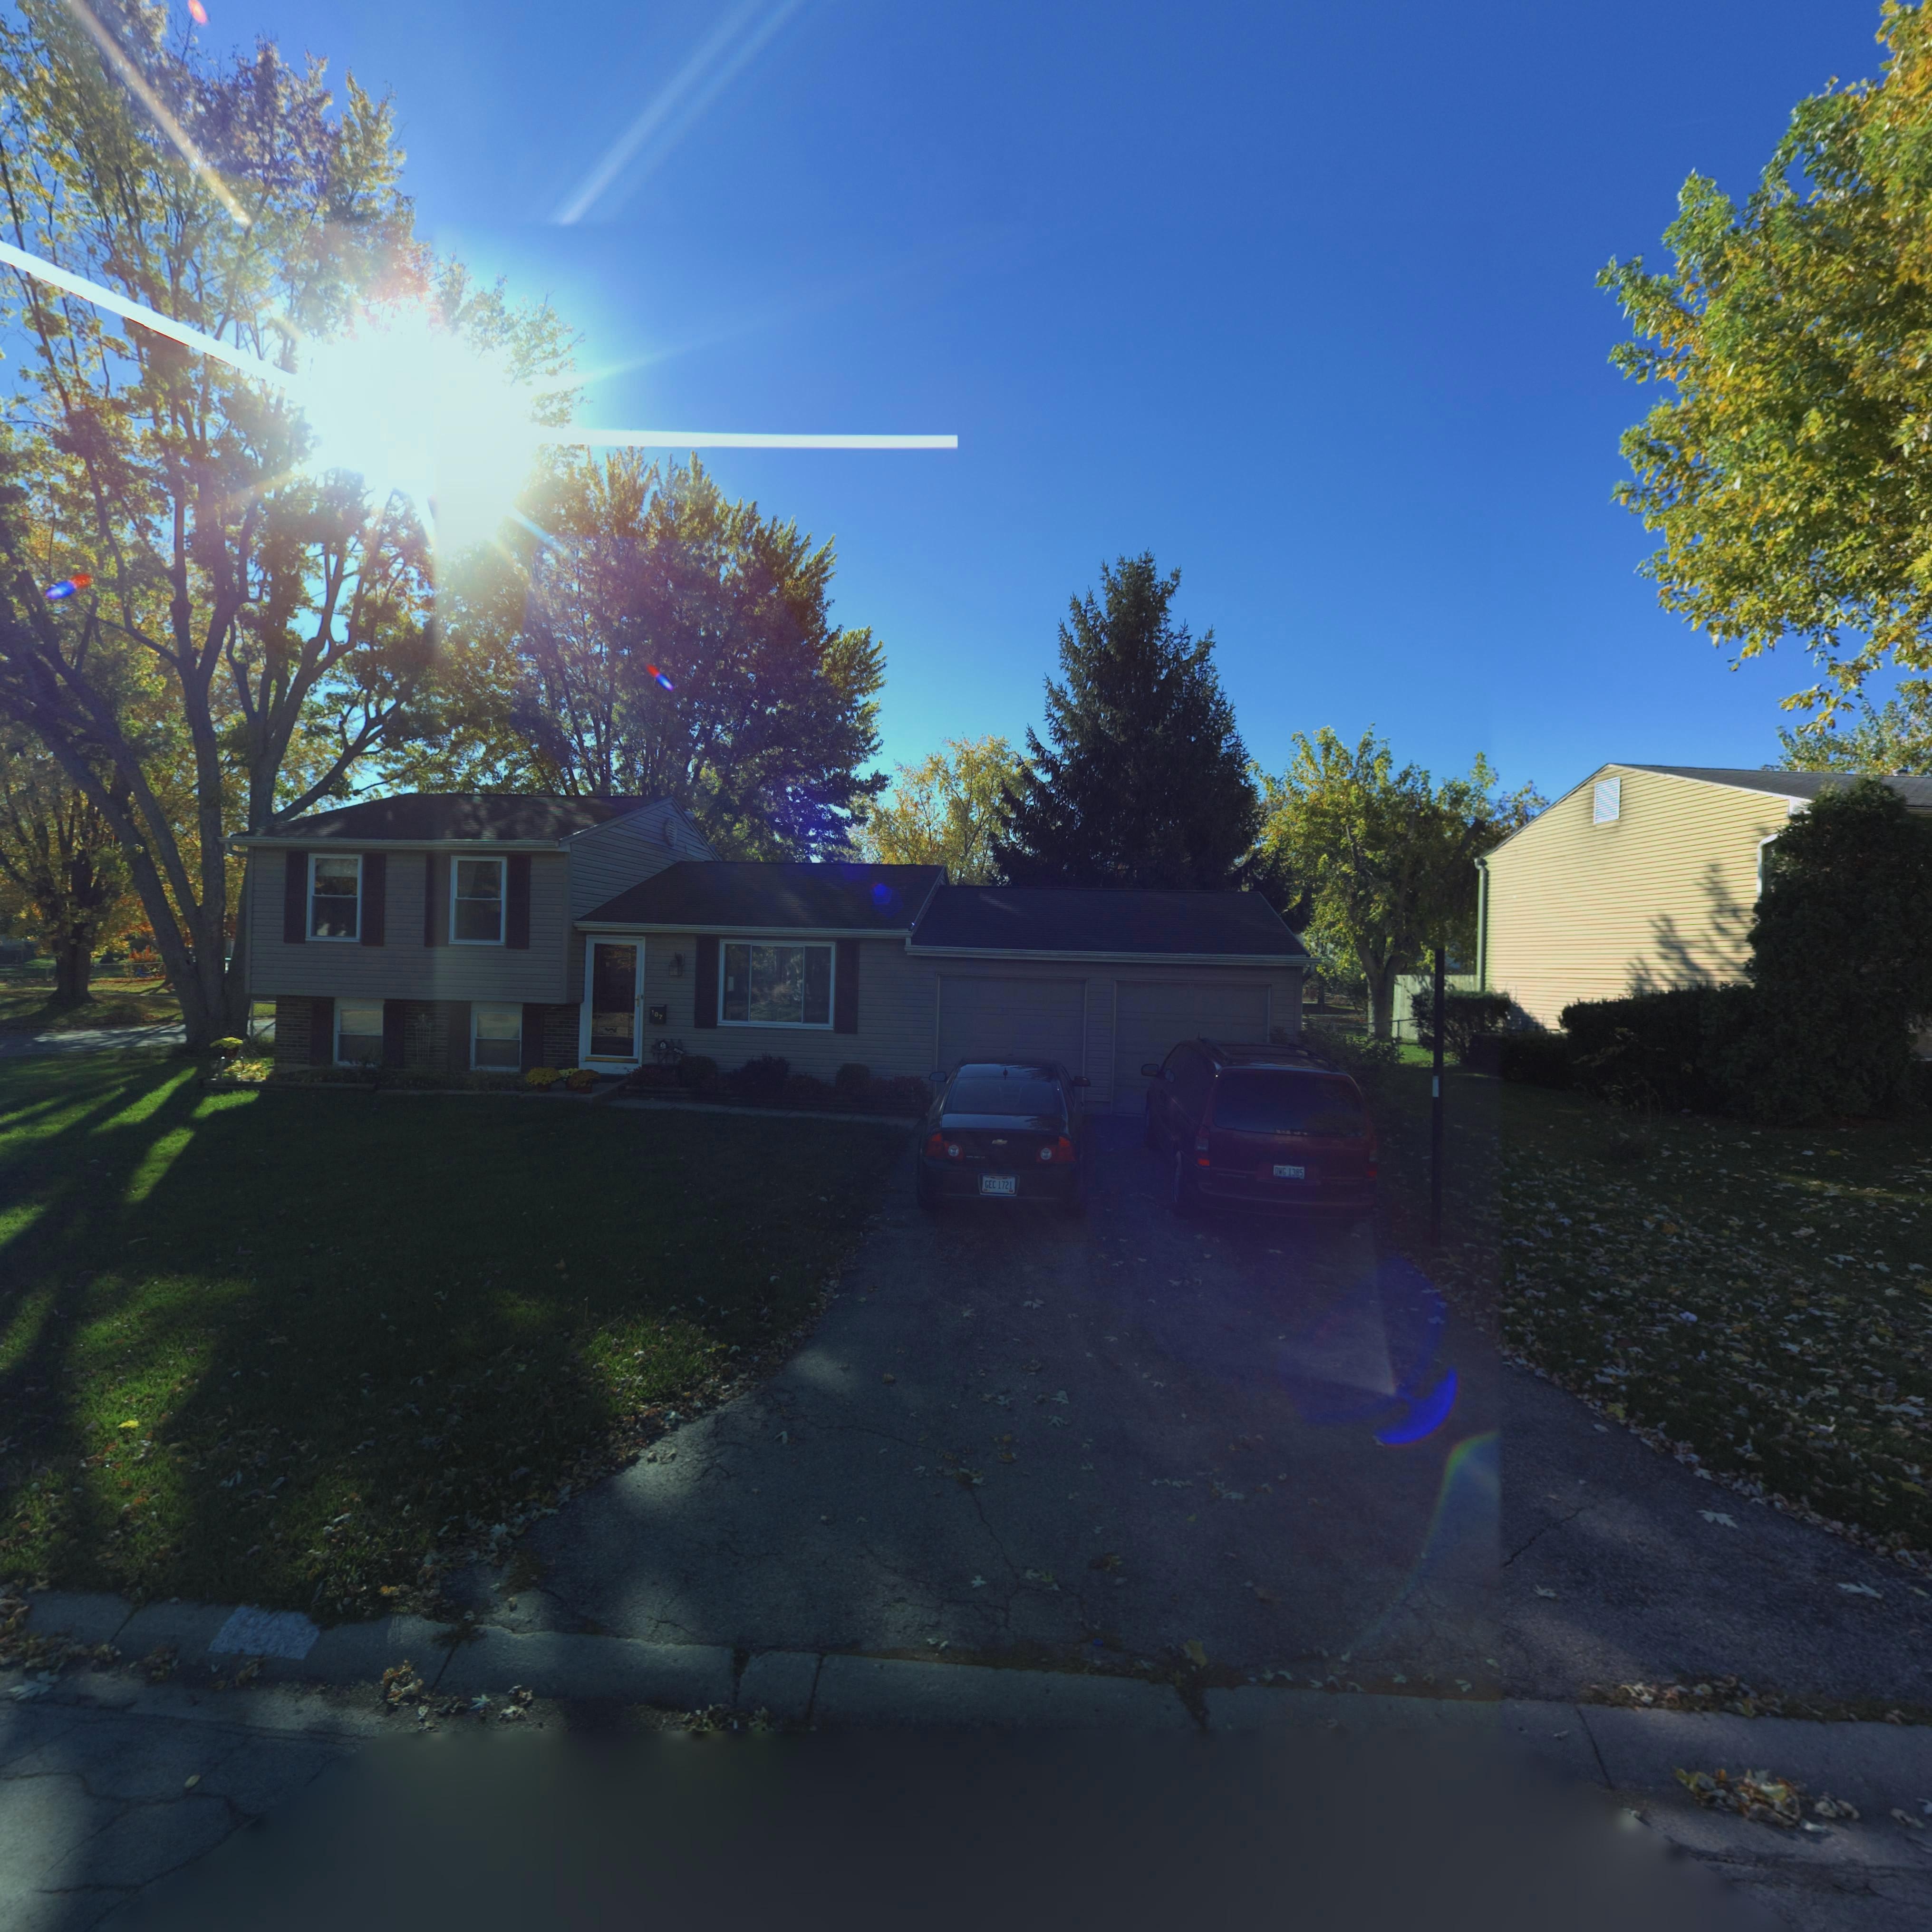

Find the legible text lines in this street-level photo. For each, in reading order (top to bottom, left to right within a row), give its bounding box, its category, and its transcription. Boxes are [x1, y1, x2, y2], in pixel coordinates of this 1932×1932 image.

[651, 1009, 664, 1021] StreetNumber: 107